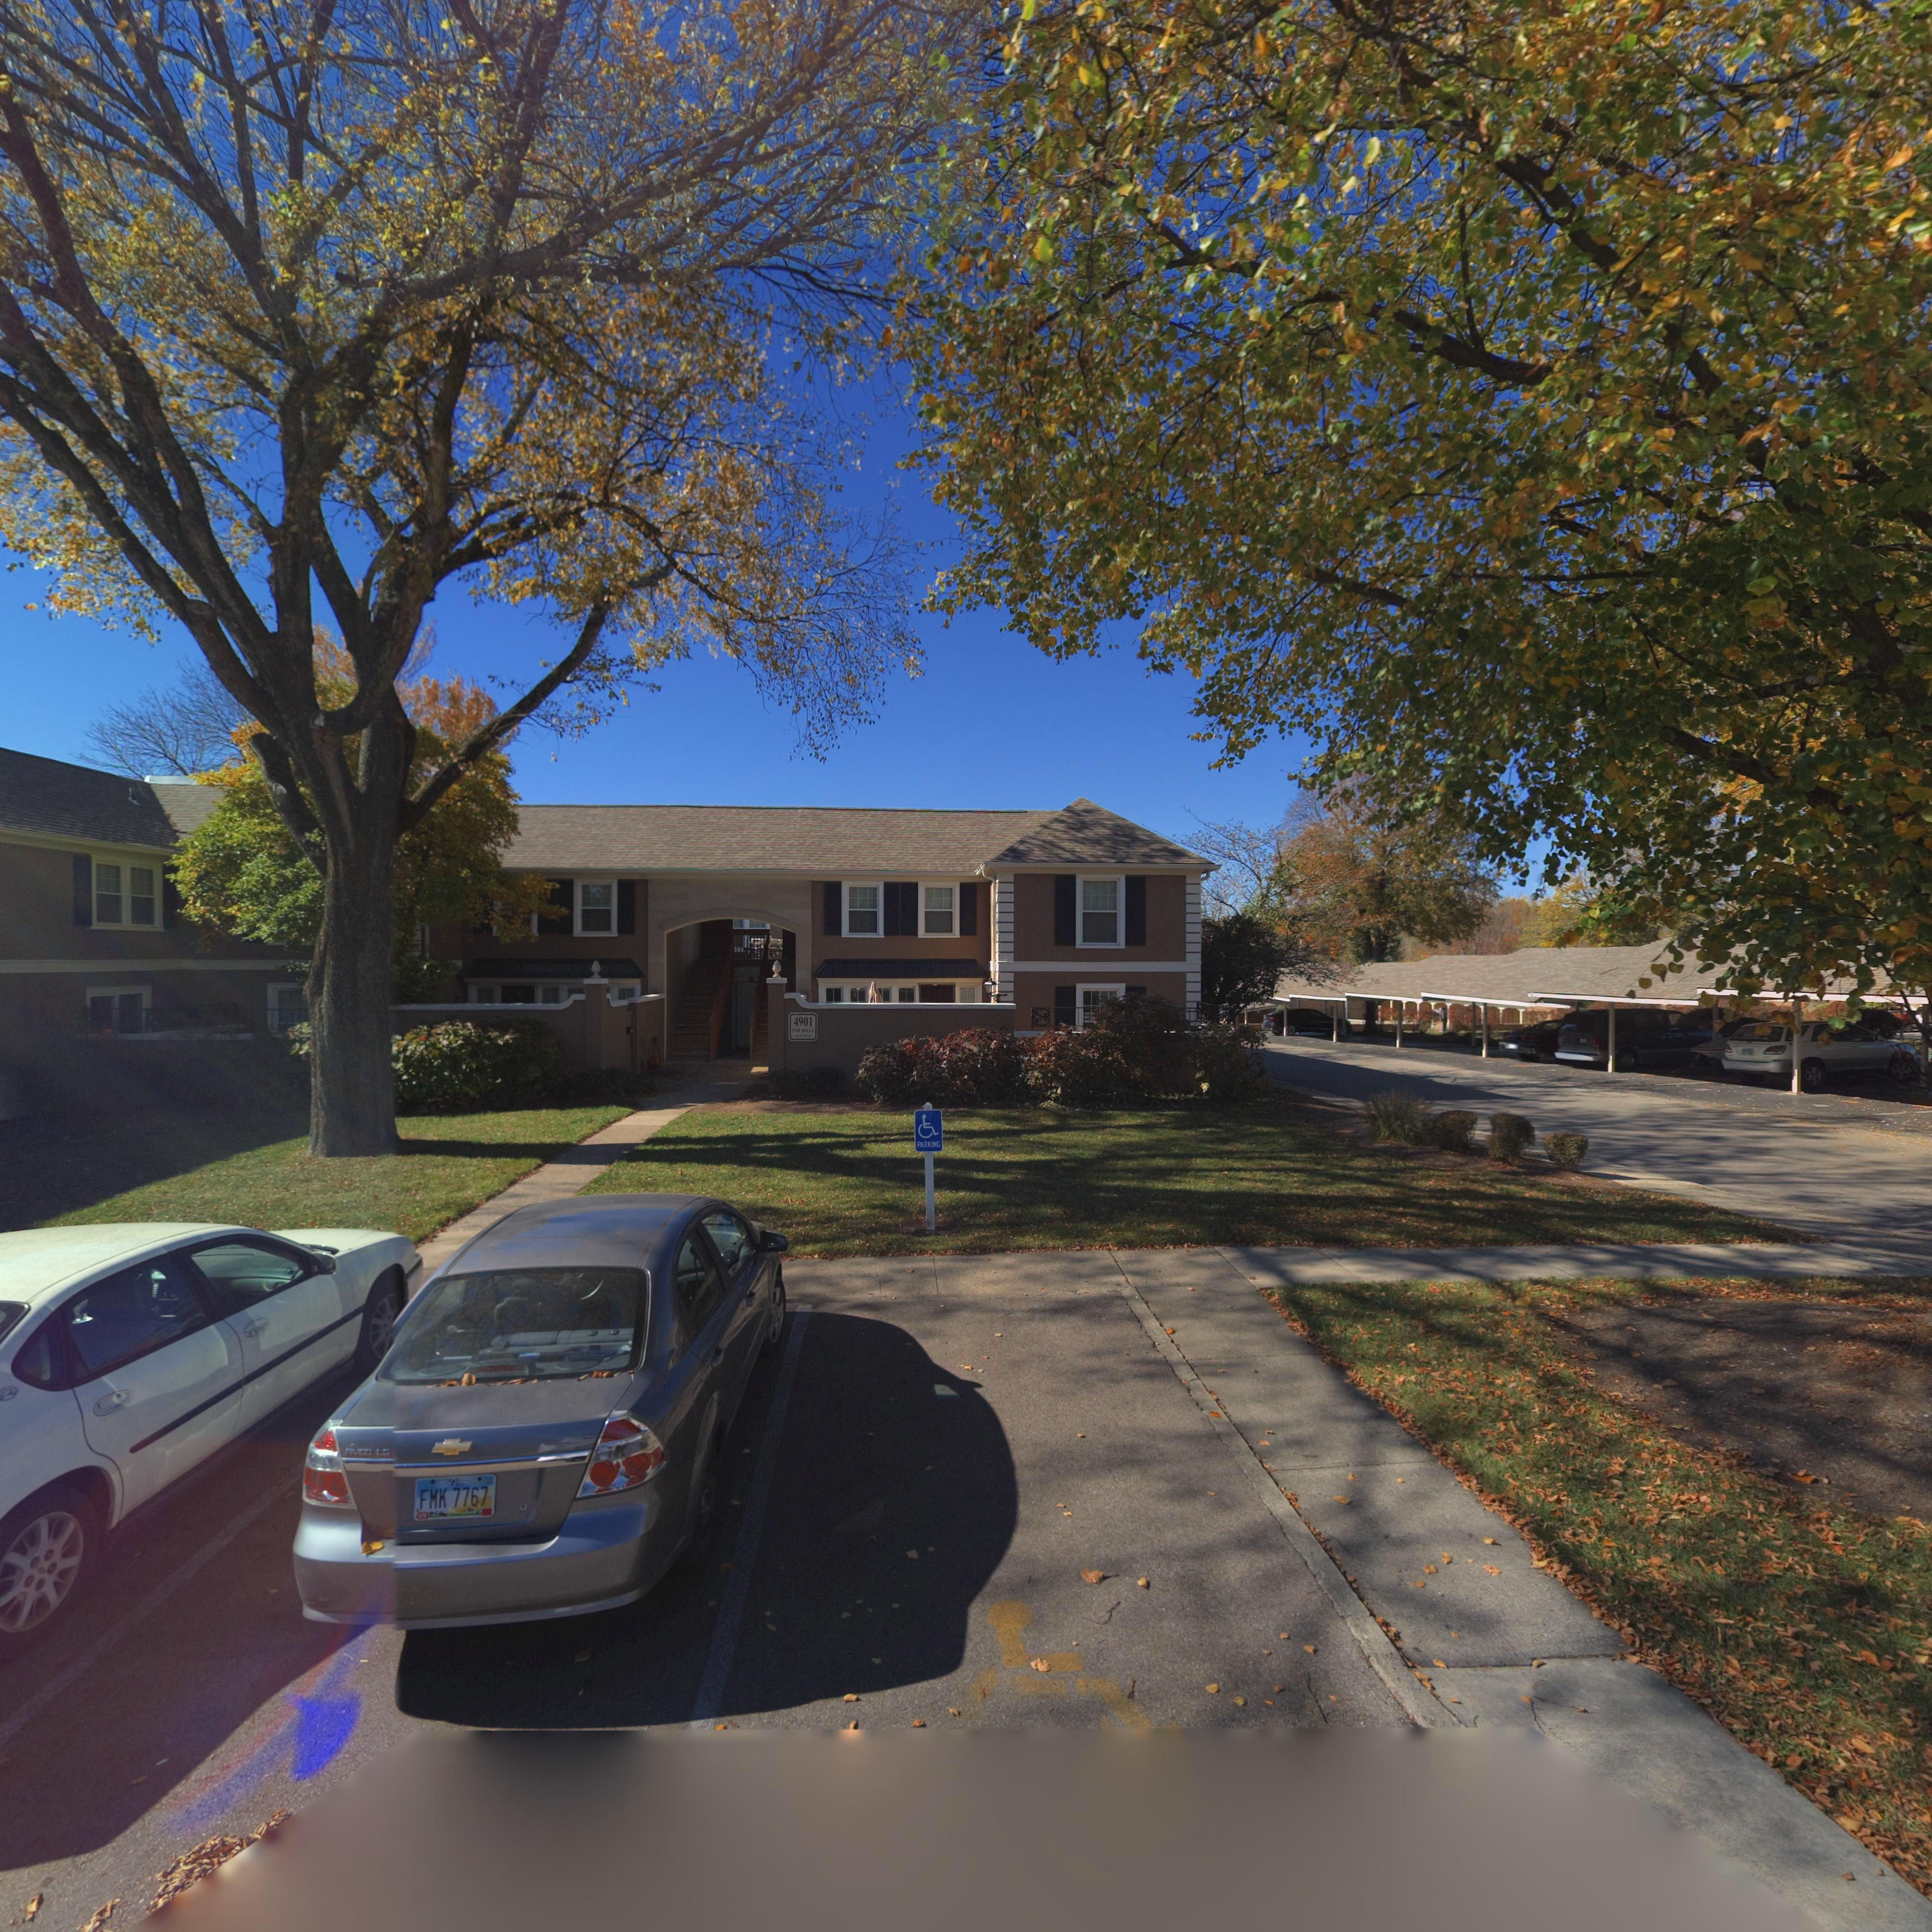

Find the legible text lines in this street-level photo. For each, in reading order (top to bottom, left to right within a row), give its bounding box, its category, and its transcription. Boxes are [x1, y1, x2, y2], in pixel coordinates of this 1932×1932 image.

[793, 1016, 812, 1027] StreetNumber: 4901